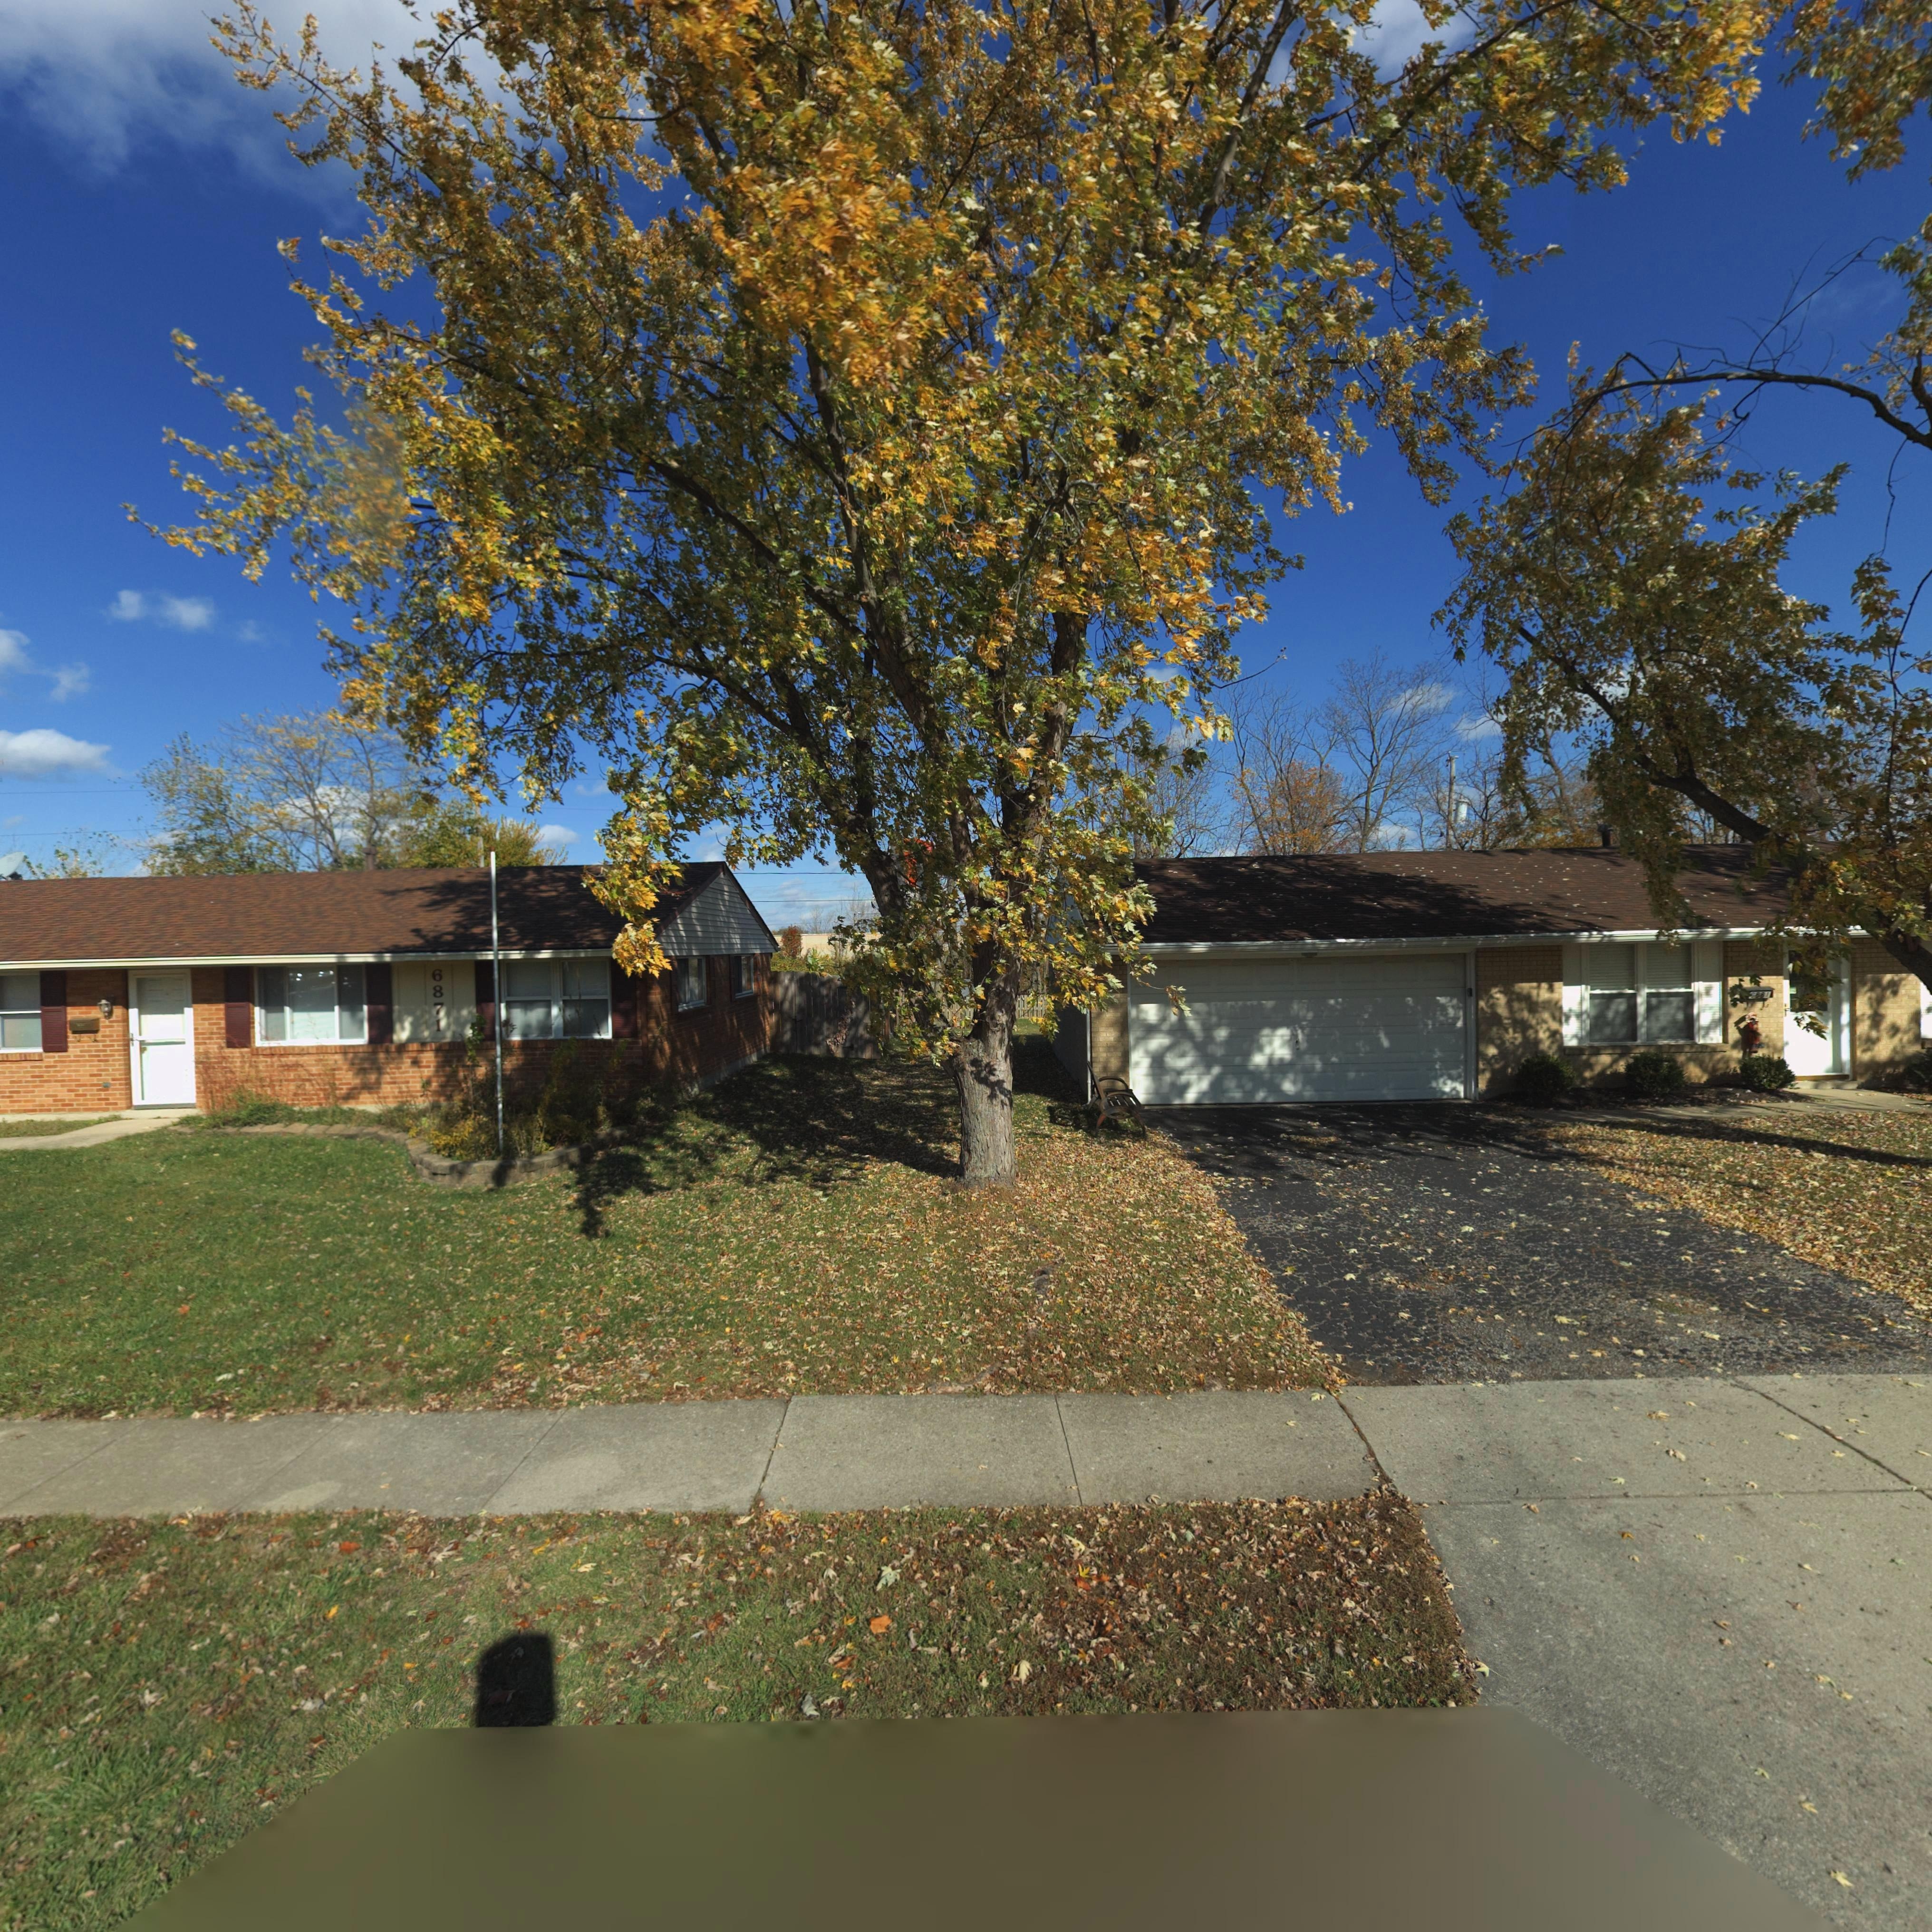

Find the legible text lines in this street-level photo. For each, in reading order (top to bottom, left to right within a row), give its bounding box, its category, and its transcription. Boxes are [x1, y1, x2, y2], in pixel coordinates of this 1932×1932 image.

[430, 966, 446, 1033] StreetNumber: 6871
[1749, 990, 1770, 999] StreetNumber: 6881